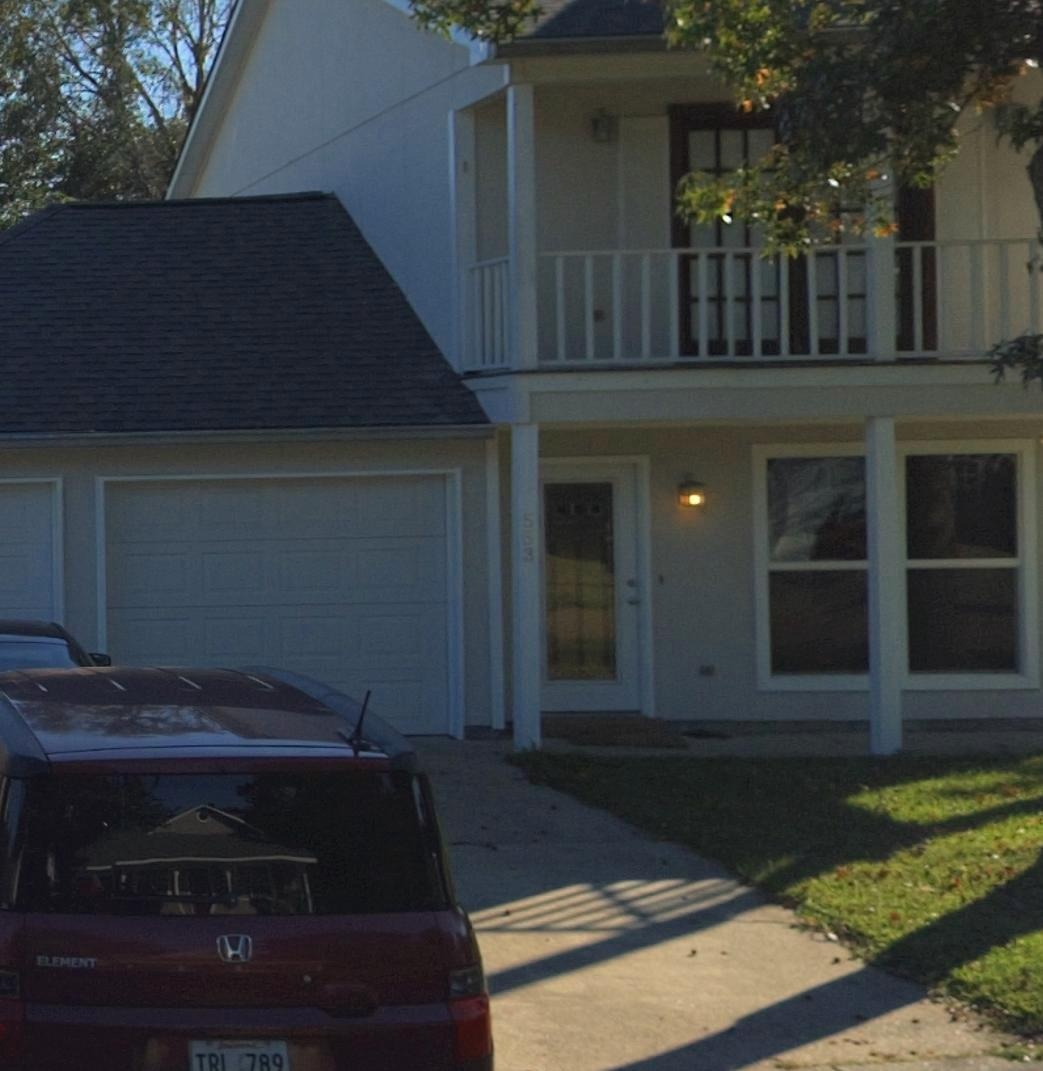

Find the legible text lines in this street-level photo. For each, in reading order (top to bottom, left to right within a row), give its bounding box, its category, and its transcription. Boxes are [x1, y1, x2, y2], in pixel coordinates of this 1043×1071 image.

[522, 511, 536, 563] StreetNumber: 553
[34, 954, 98, 970] None: ELEMENT